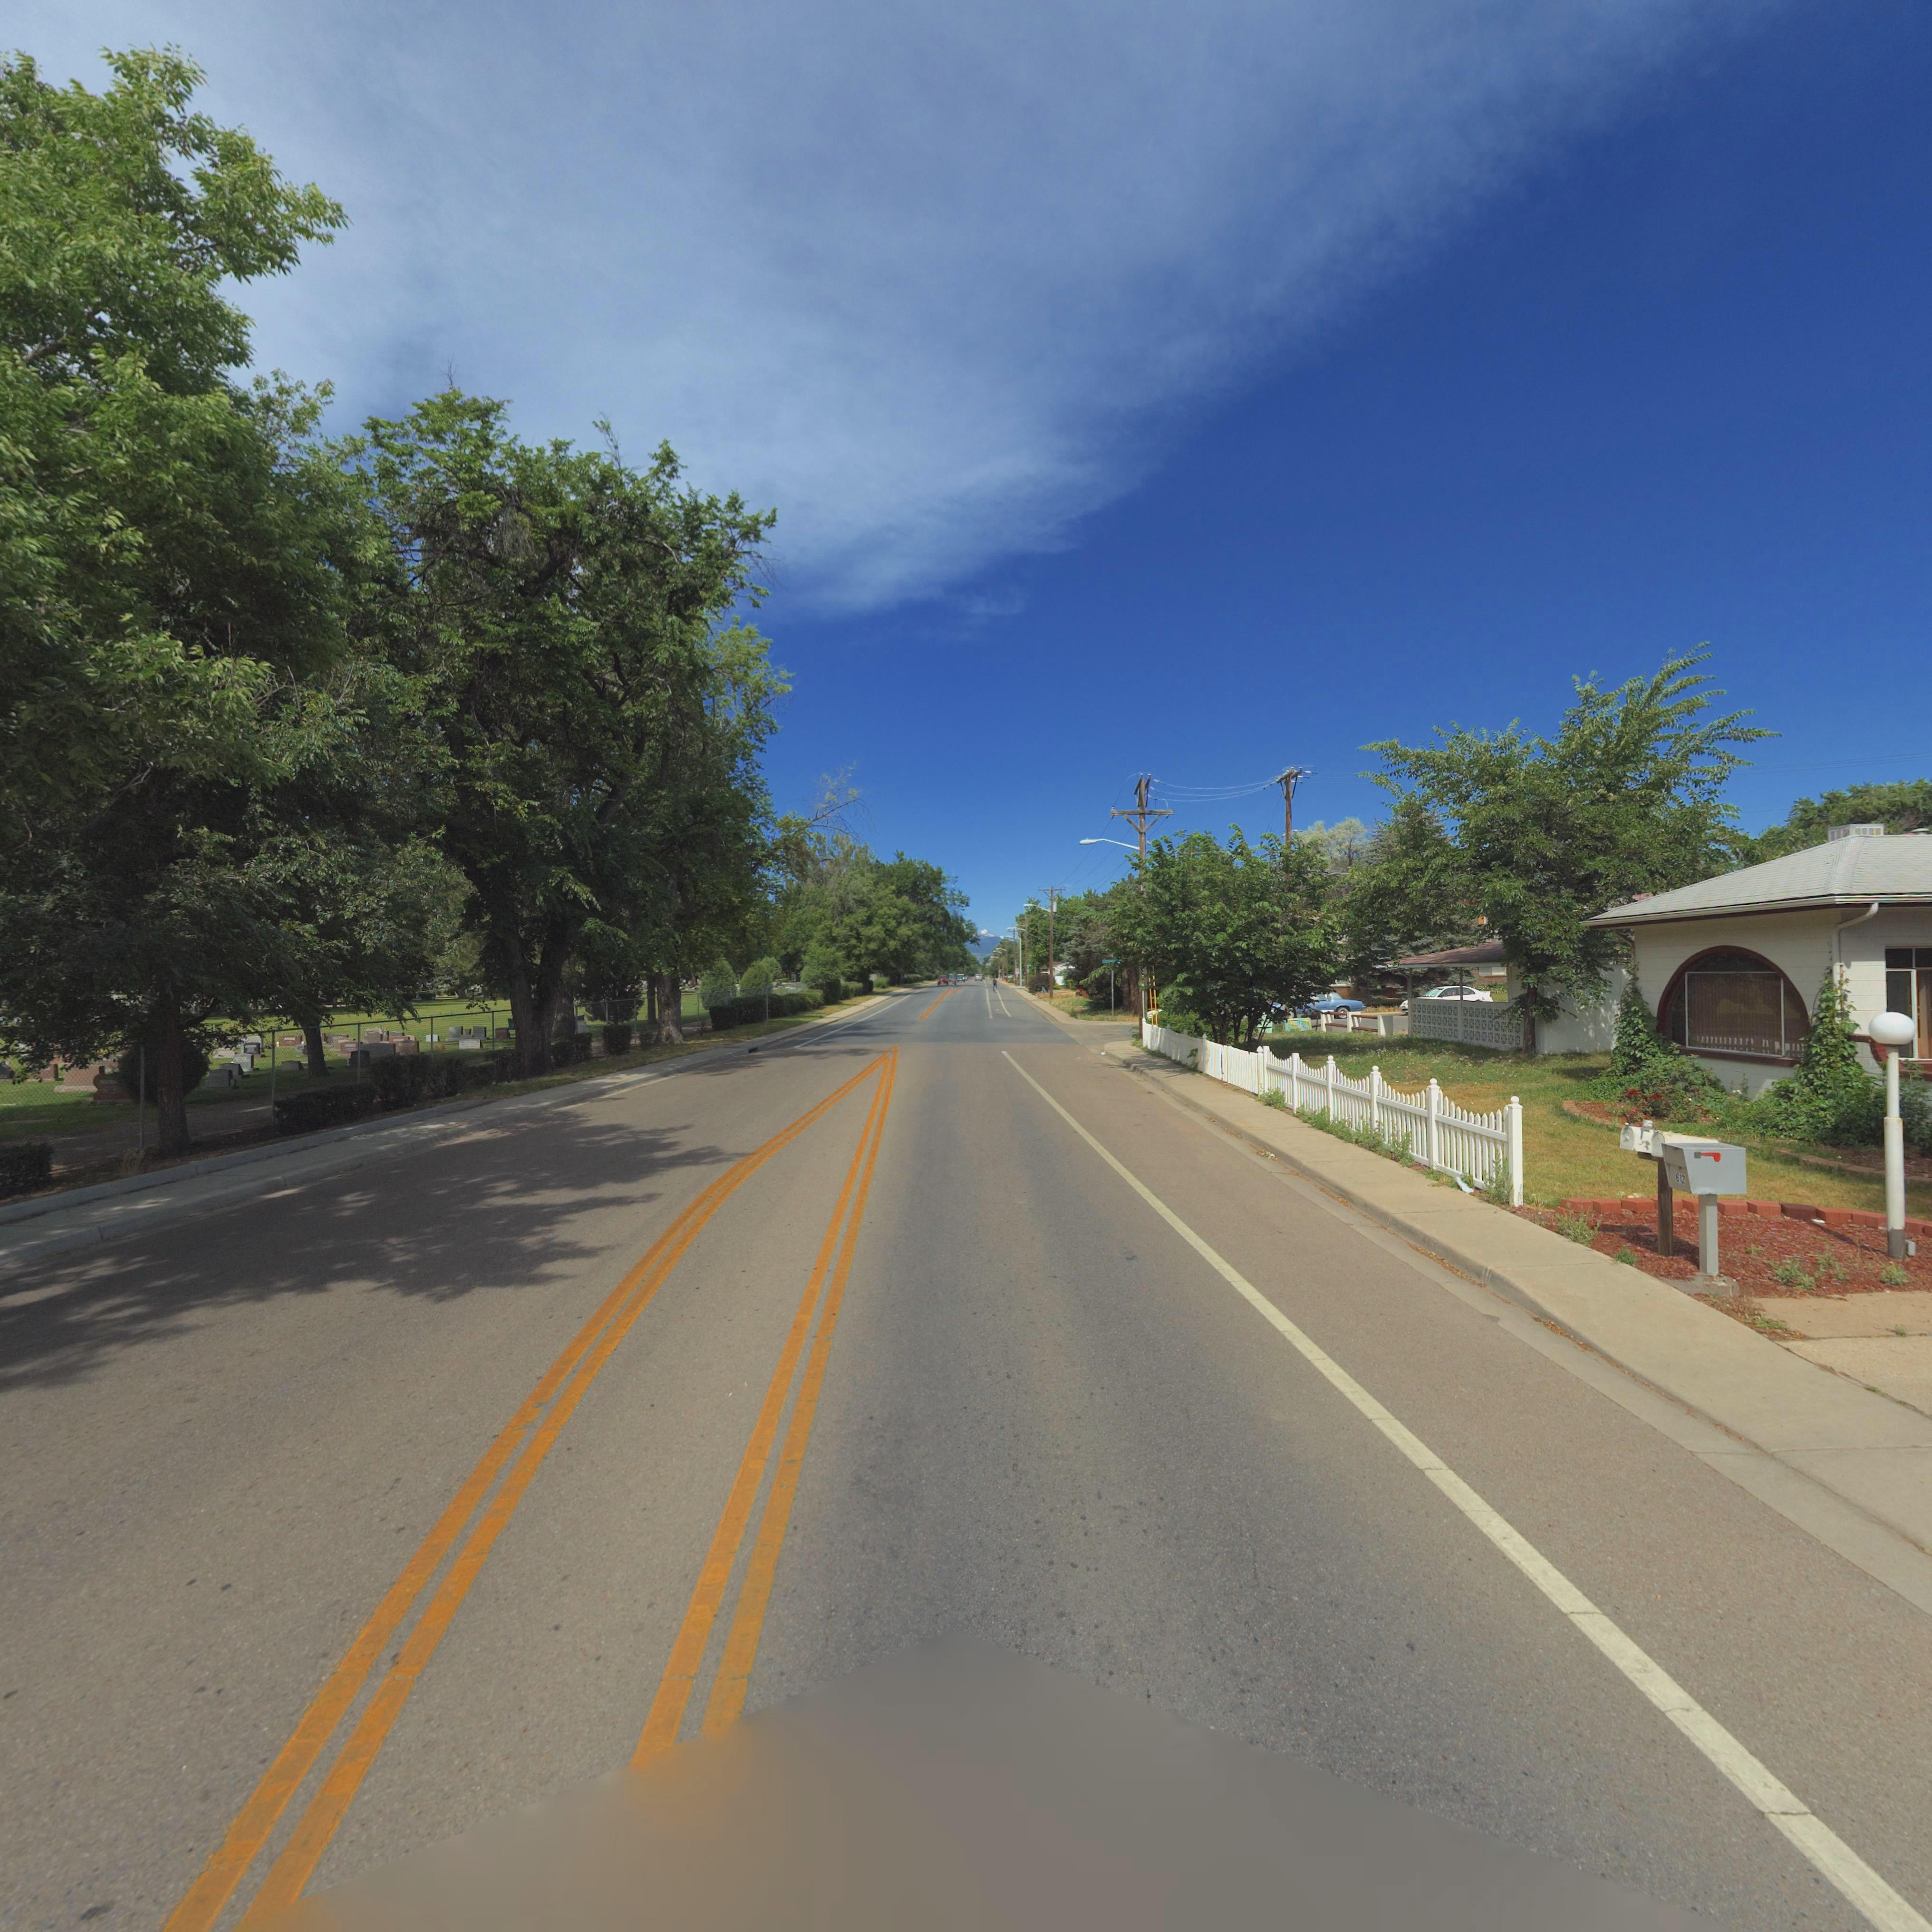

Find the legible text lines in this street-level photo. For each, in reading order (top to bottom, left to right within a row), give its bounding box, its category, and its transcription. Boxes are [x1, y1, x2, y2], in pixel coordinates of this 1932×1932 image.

[1675, 1172, 1685, 1184] StreetNumber: 612